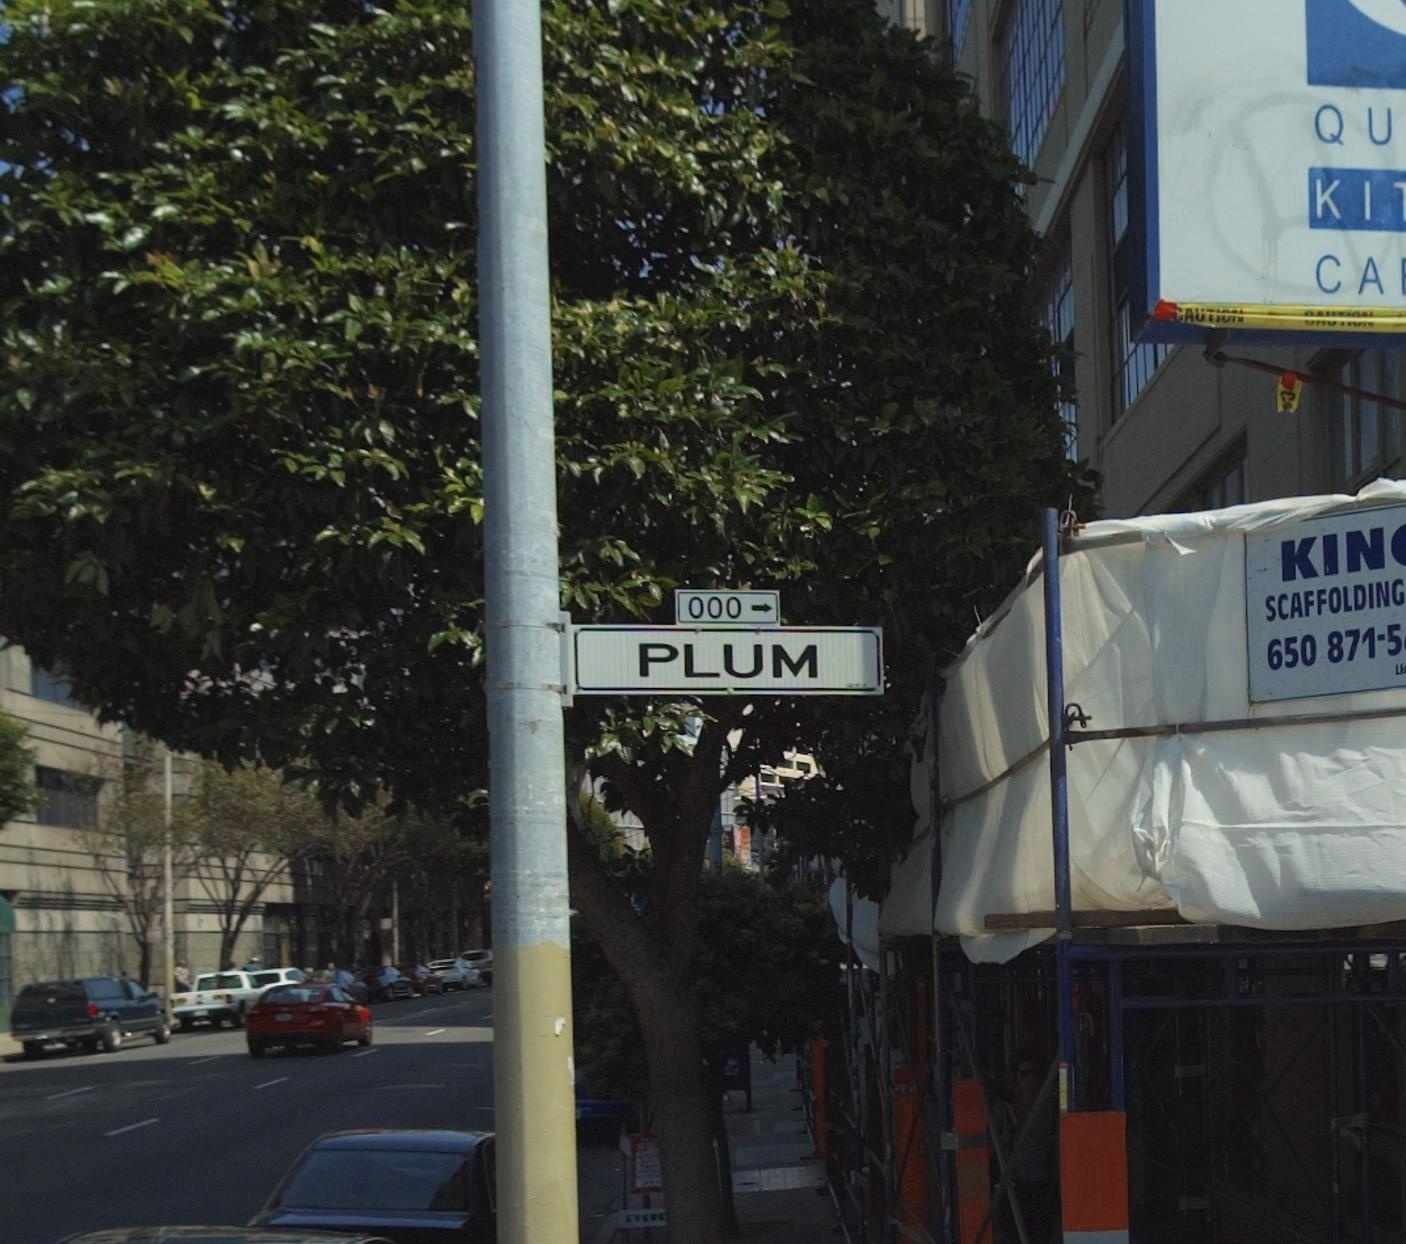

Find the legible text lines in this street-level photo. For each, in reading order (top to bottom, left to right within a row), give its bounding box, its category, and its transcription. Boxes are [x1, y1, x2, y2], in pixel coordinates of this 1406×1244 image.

[1313, 104, 1400, 149] None: QU
[1315, 175, 1373, 222] None: KI
[1314, 253, 1392, 299] None: CA
[1174, 303, 1244, 328] None: CATUTION
[1267, 522, 1390, 584] None: KIN
[686, 595, 774, 619] StreetNumberRange: 000->
[1262, 576, 1405, 624] None: SCAFFOLDING
[637, 642, 820, 682] StreetName: PLUM
[1263, 620, 1404, 672] None: 650 871-5
[624, 1212, 665, 1223] None: EVENT